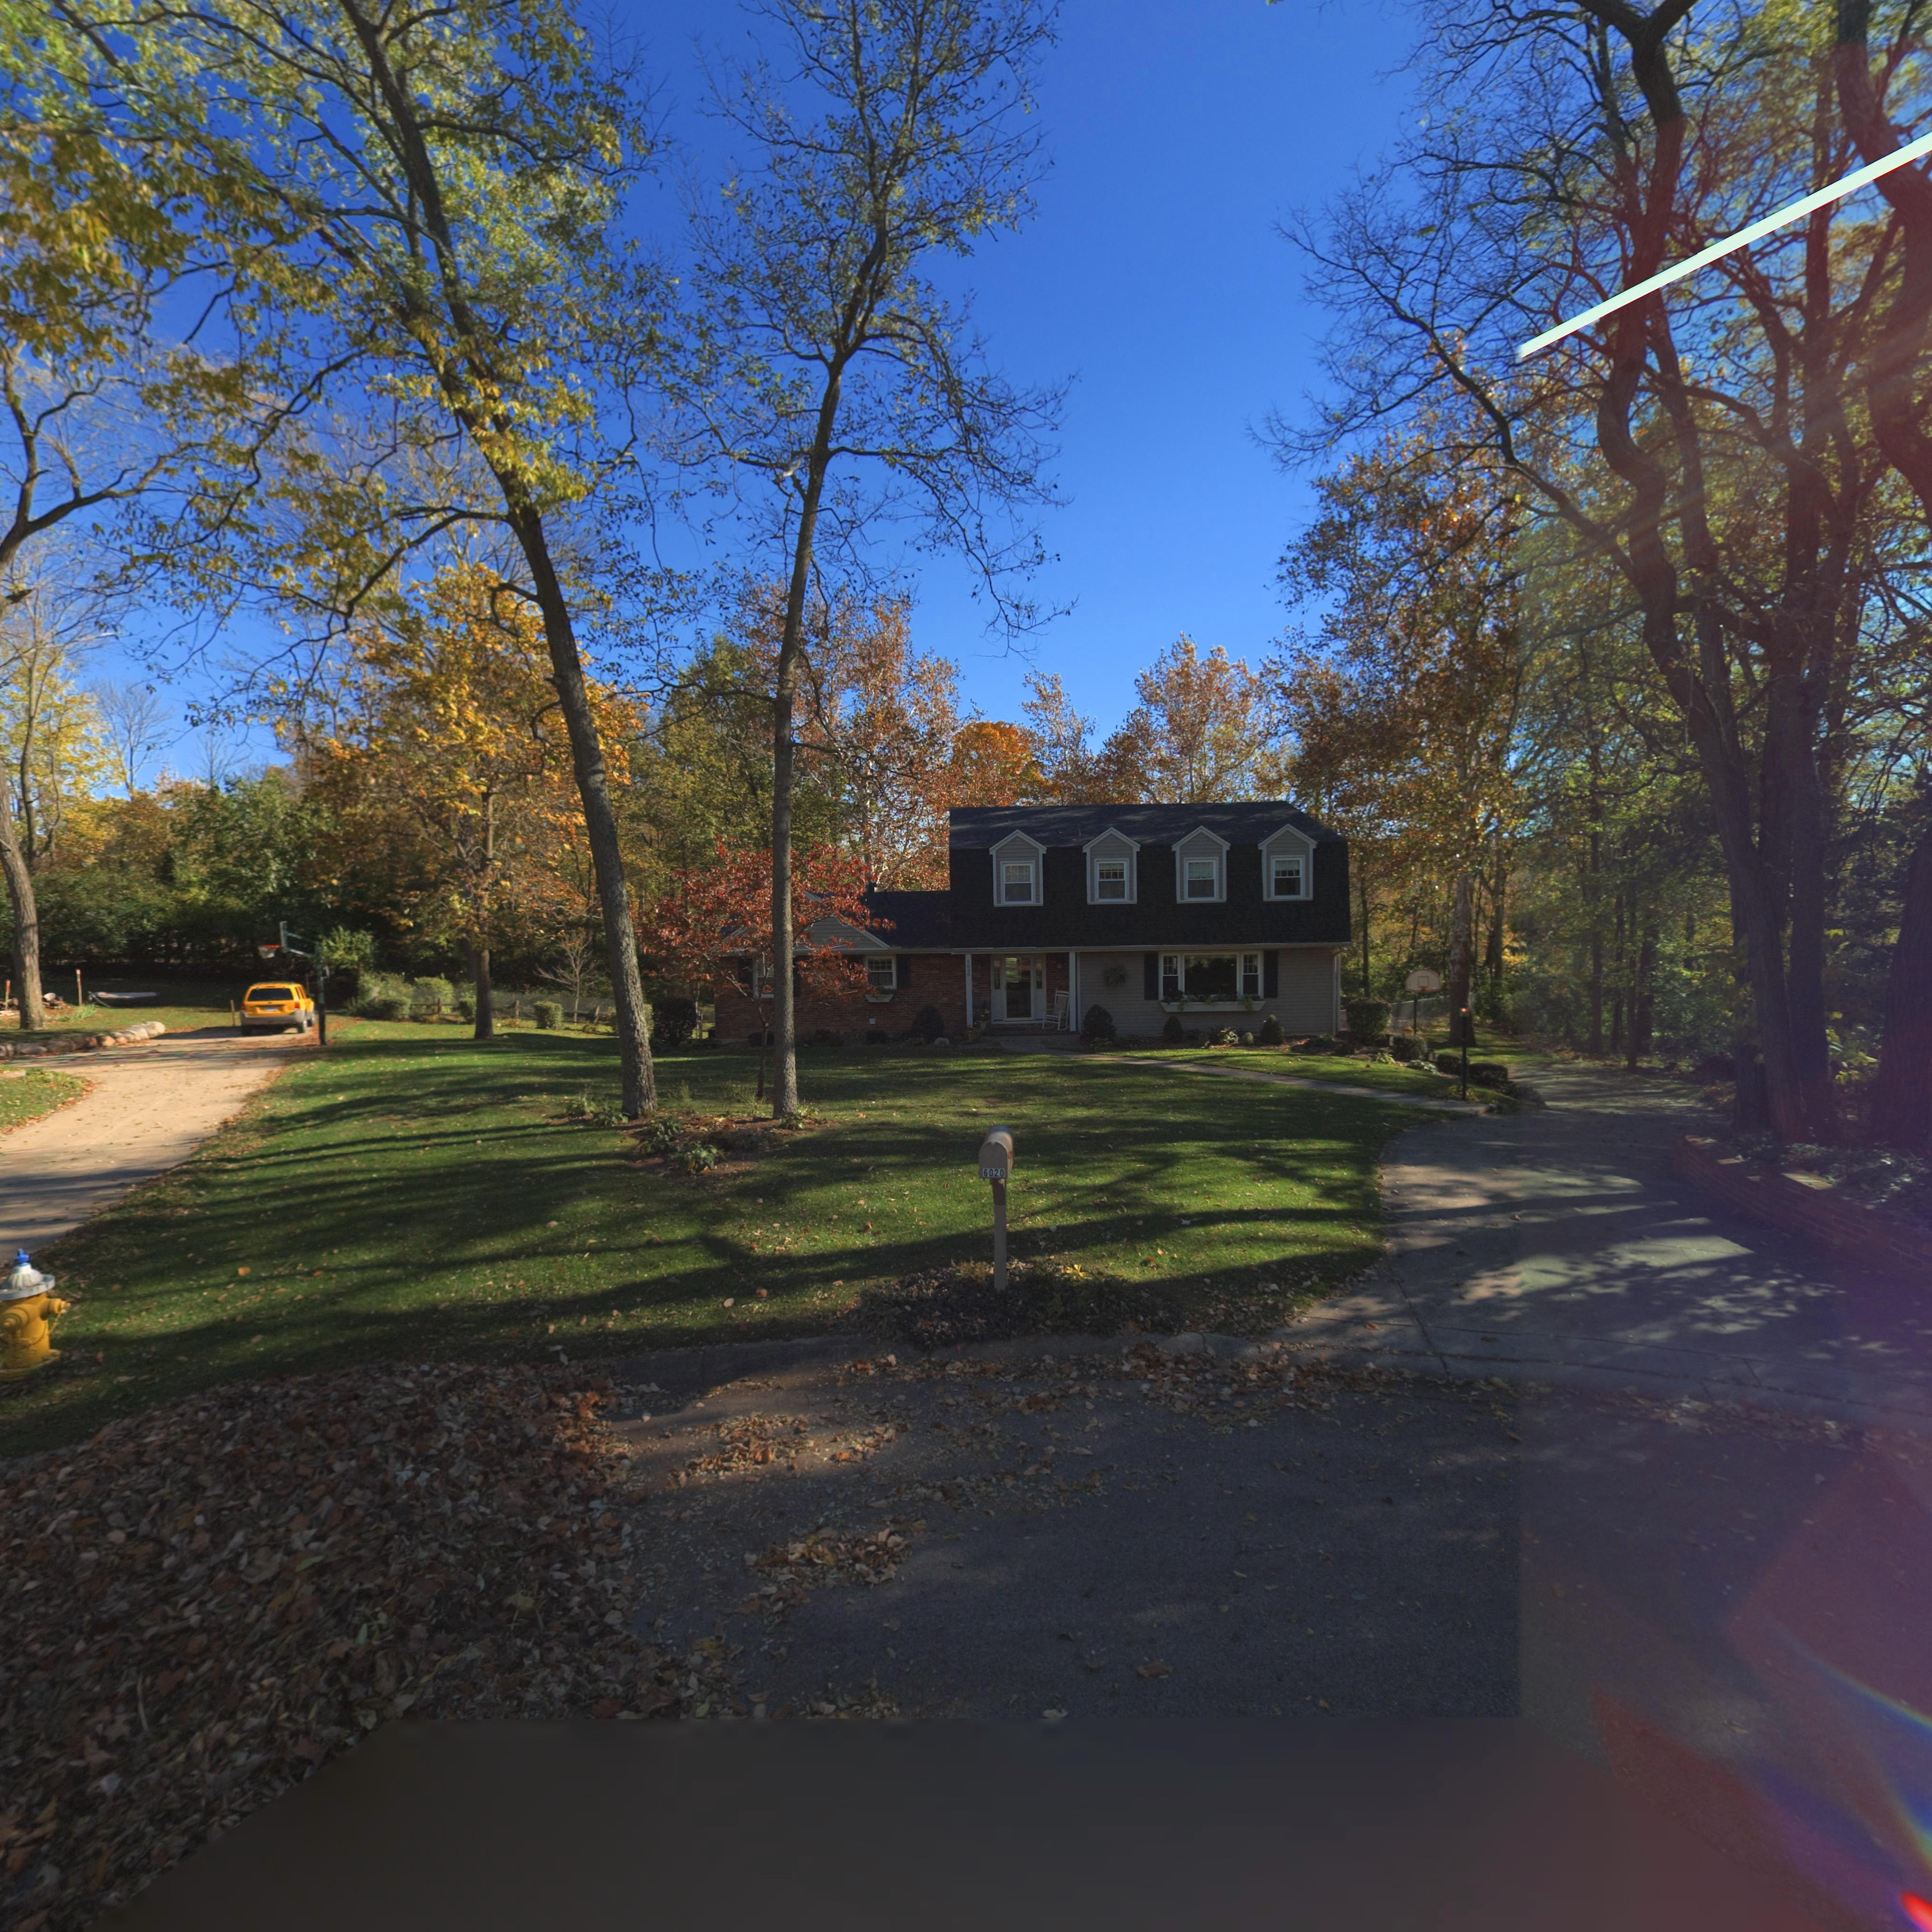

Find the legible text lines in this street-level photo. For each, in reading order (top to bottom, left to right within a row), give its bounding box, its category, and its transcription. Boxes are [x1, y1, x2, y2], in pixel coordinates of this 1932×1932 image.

[982, 1168, 1005, 1178] StreetNumber: 6020